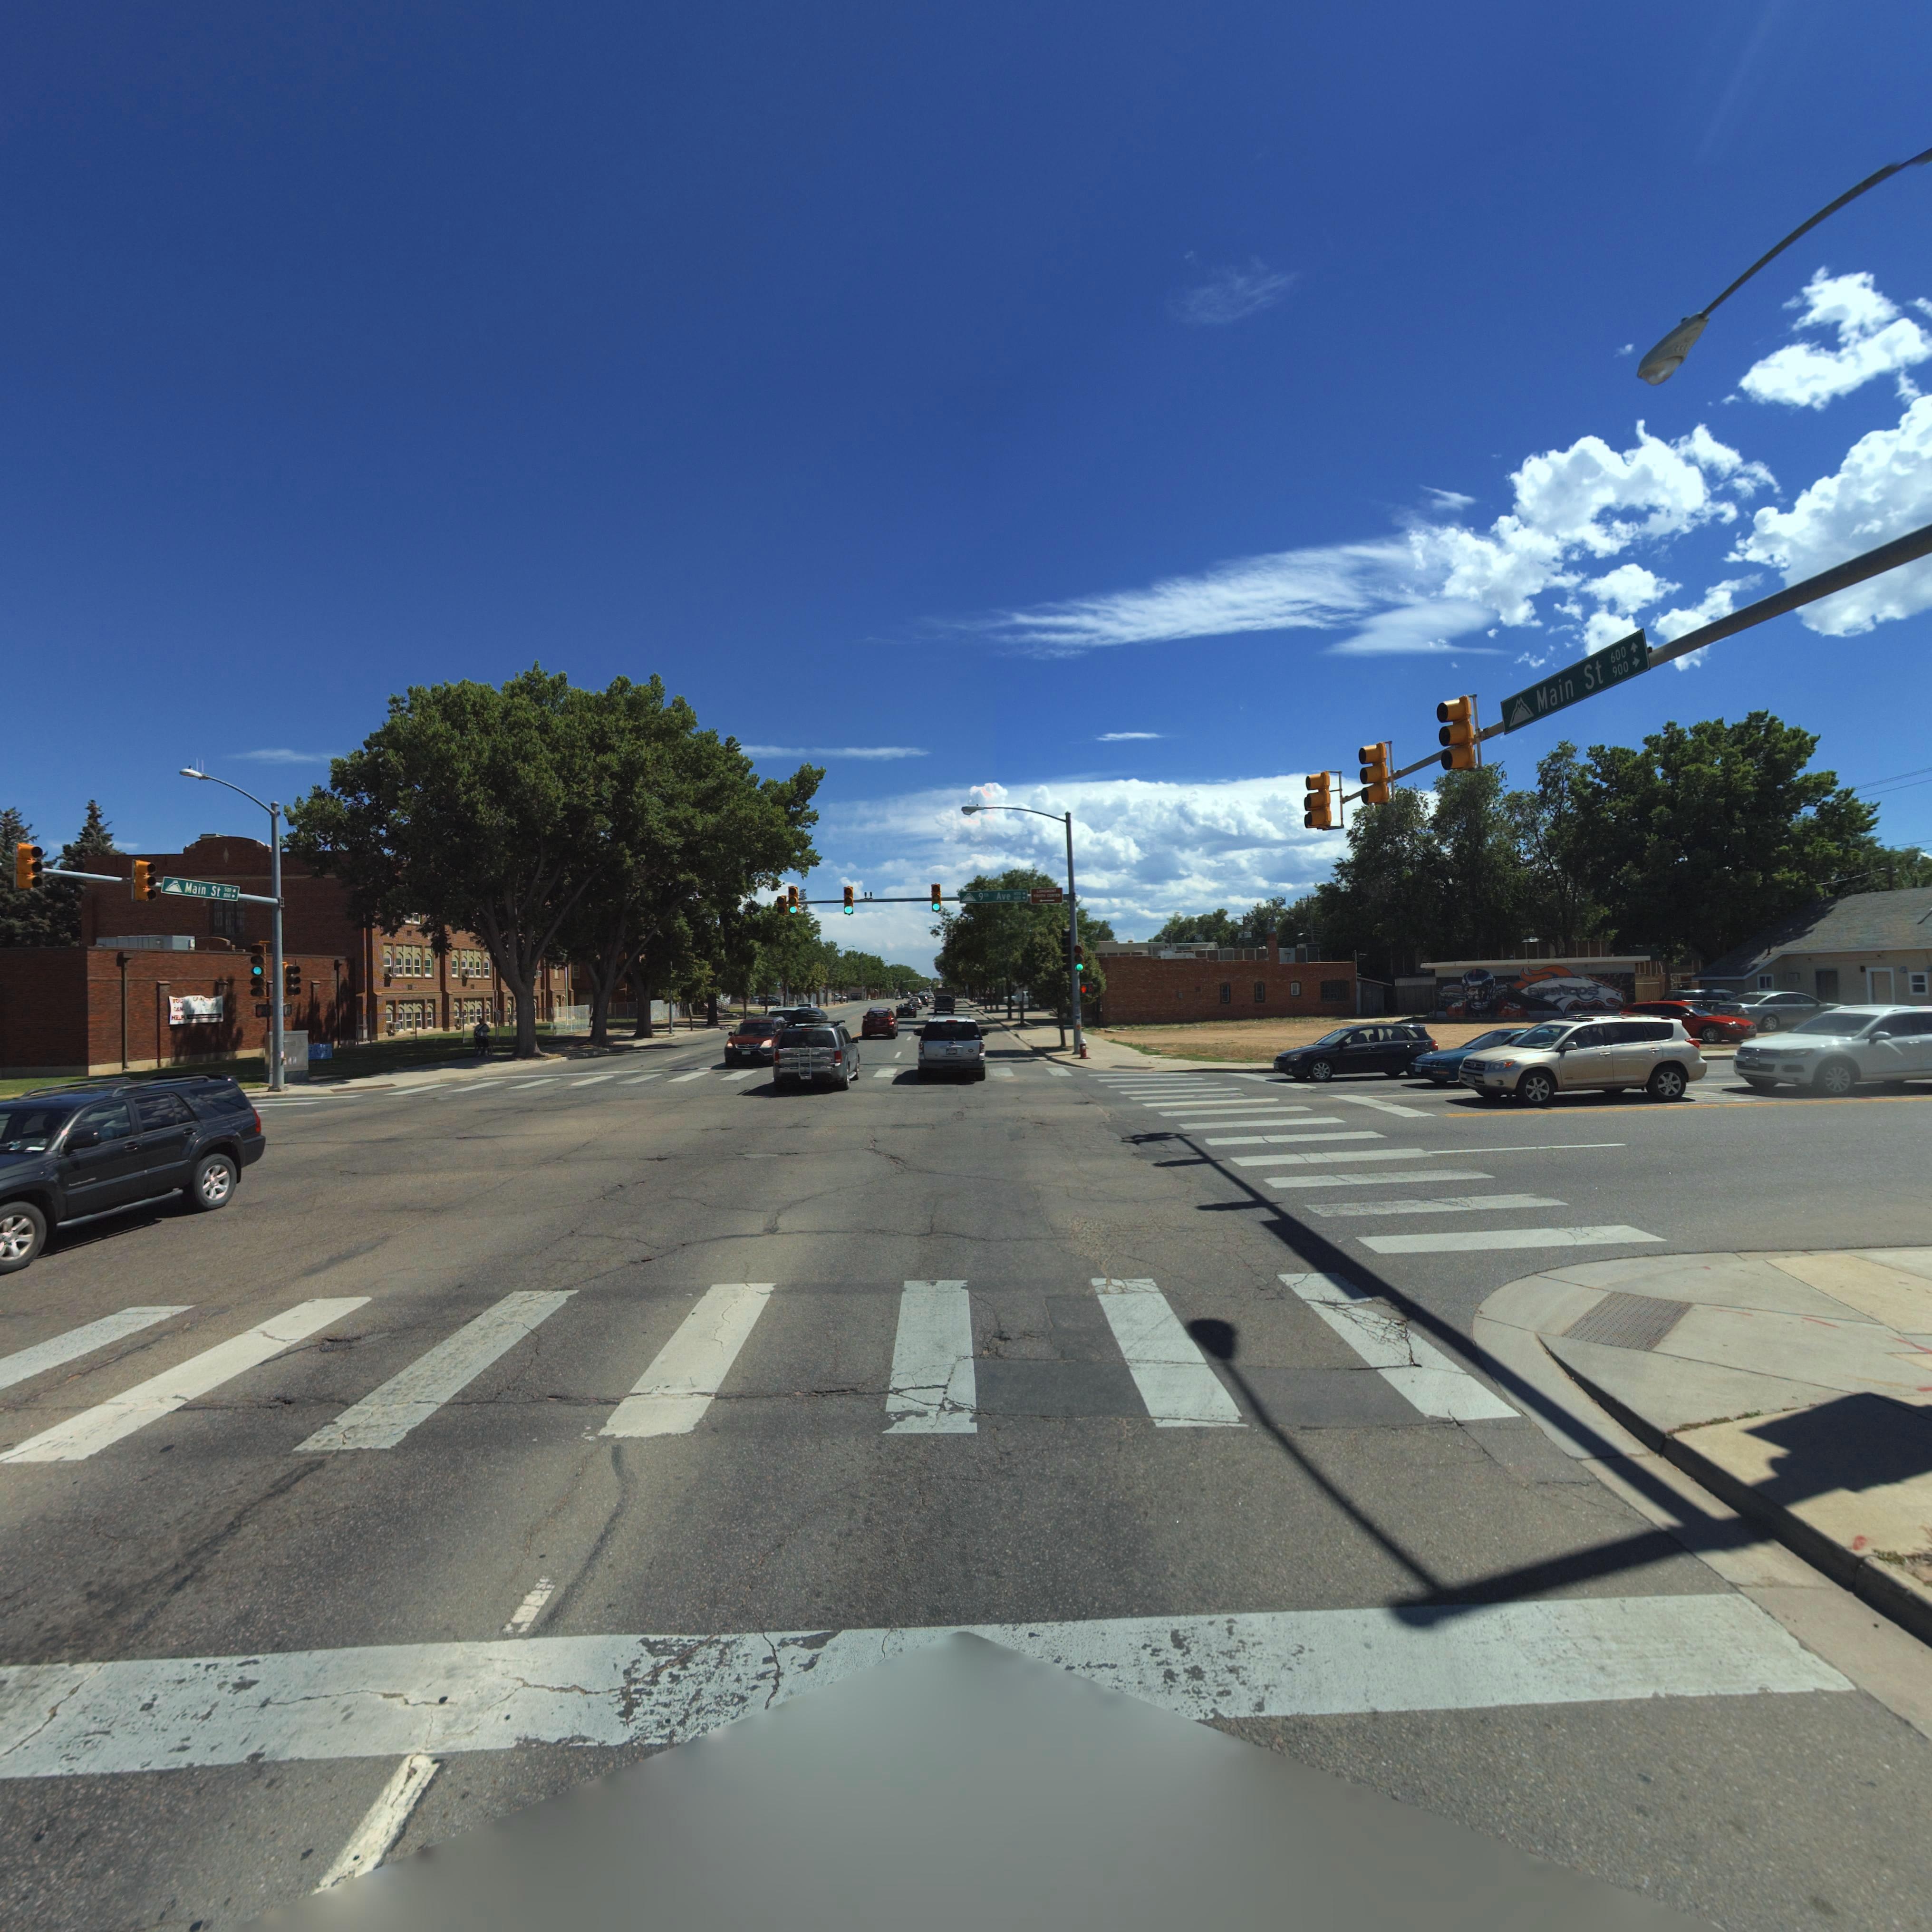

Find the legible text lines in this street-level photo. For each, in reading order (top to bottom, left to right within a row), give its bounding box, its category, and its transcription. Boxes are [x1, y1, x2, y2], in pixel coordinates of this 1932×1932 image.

[1610, 645, 1626, 663] StreetNumberRange: 600
[1612, 656, 1641, 677] StreetNumberRange: 900->
[1535, 659, 1604, 713] StreetName: Main St
[184, 881, 221, 897] StreetName: Main St
[222, 892, 231, 898] StreetNumberRange: **0
[224, 887, 232, 892] StreetNumberRange: 50*
[978, 891, 1011, 901] StreetName: 9th Ave
[1013, 891, 1021, 895] StreetNumberRange: *0*
[1013, 896, 1021, 900] StreetNumberRange: **0